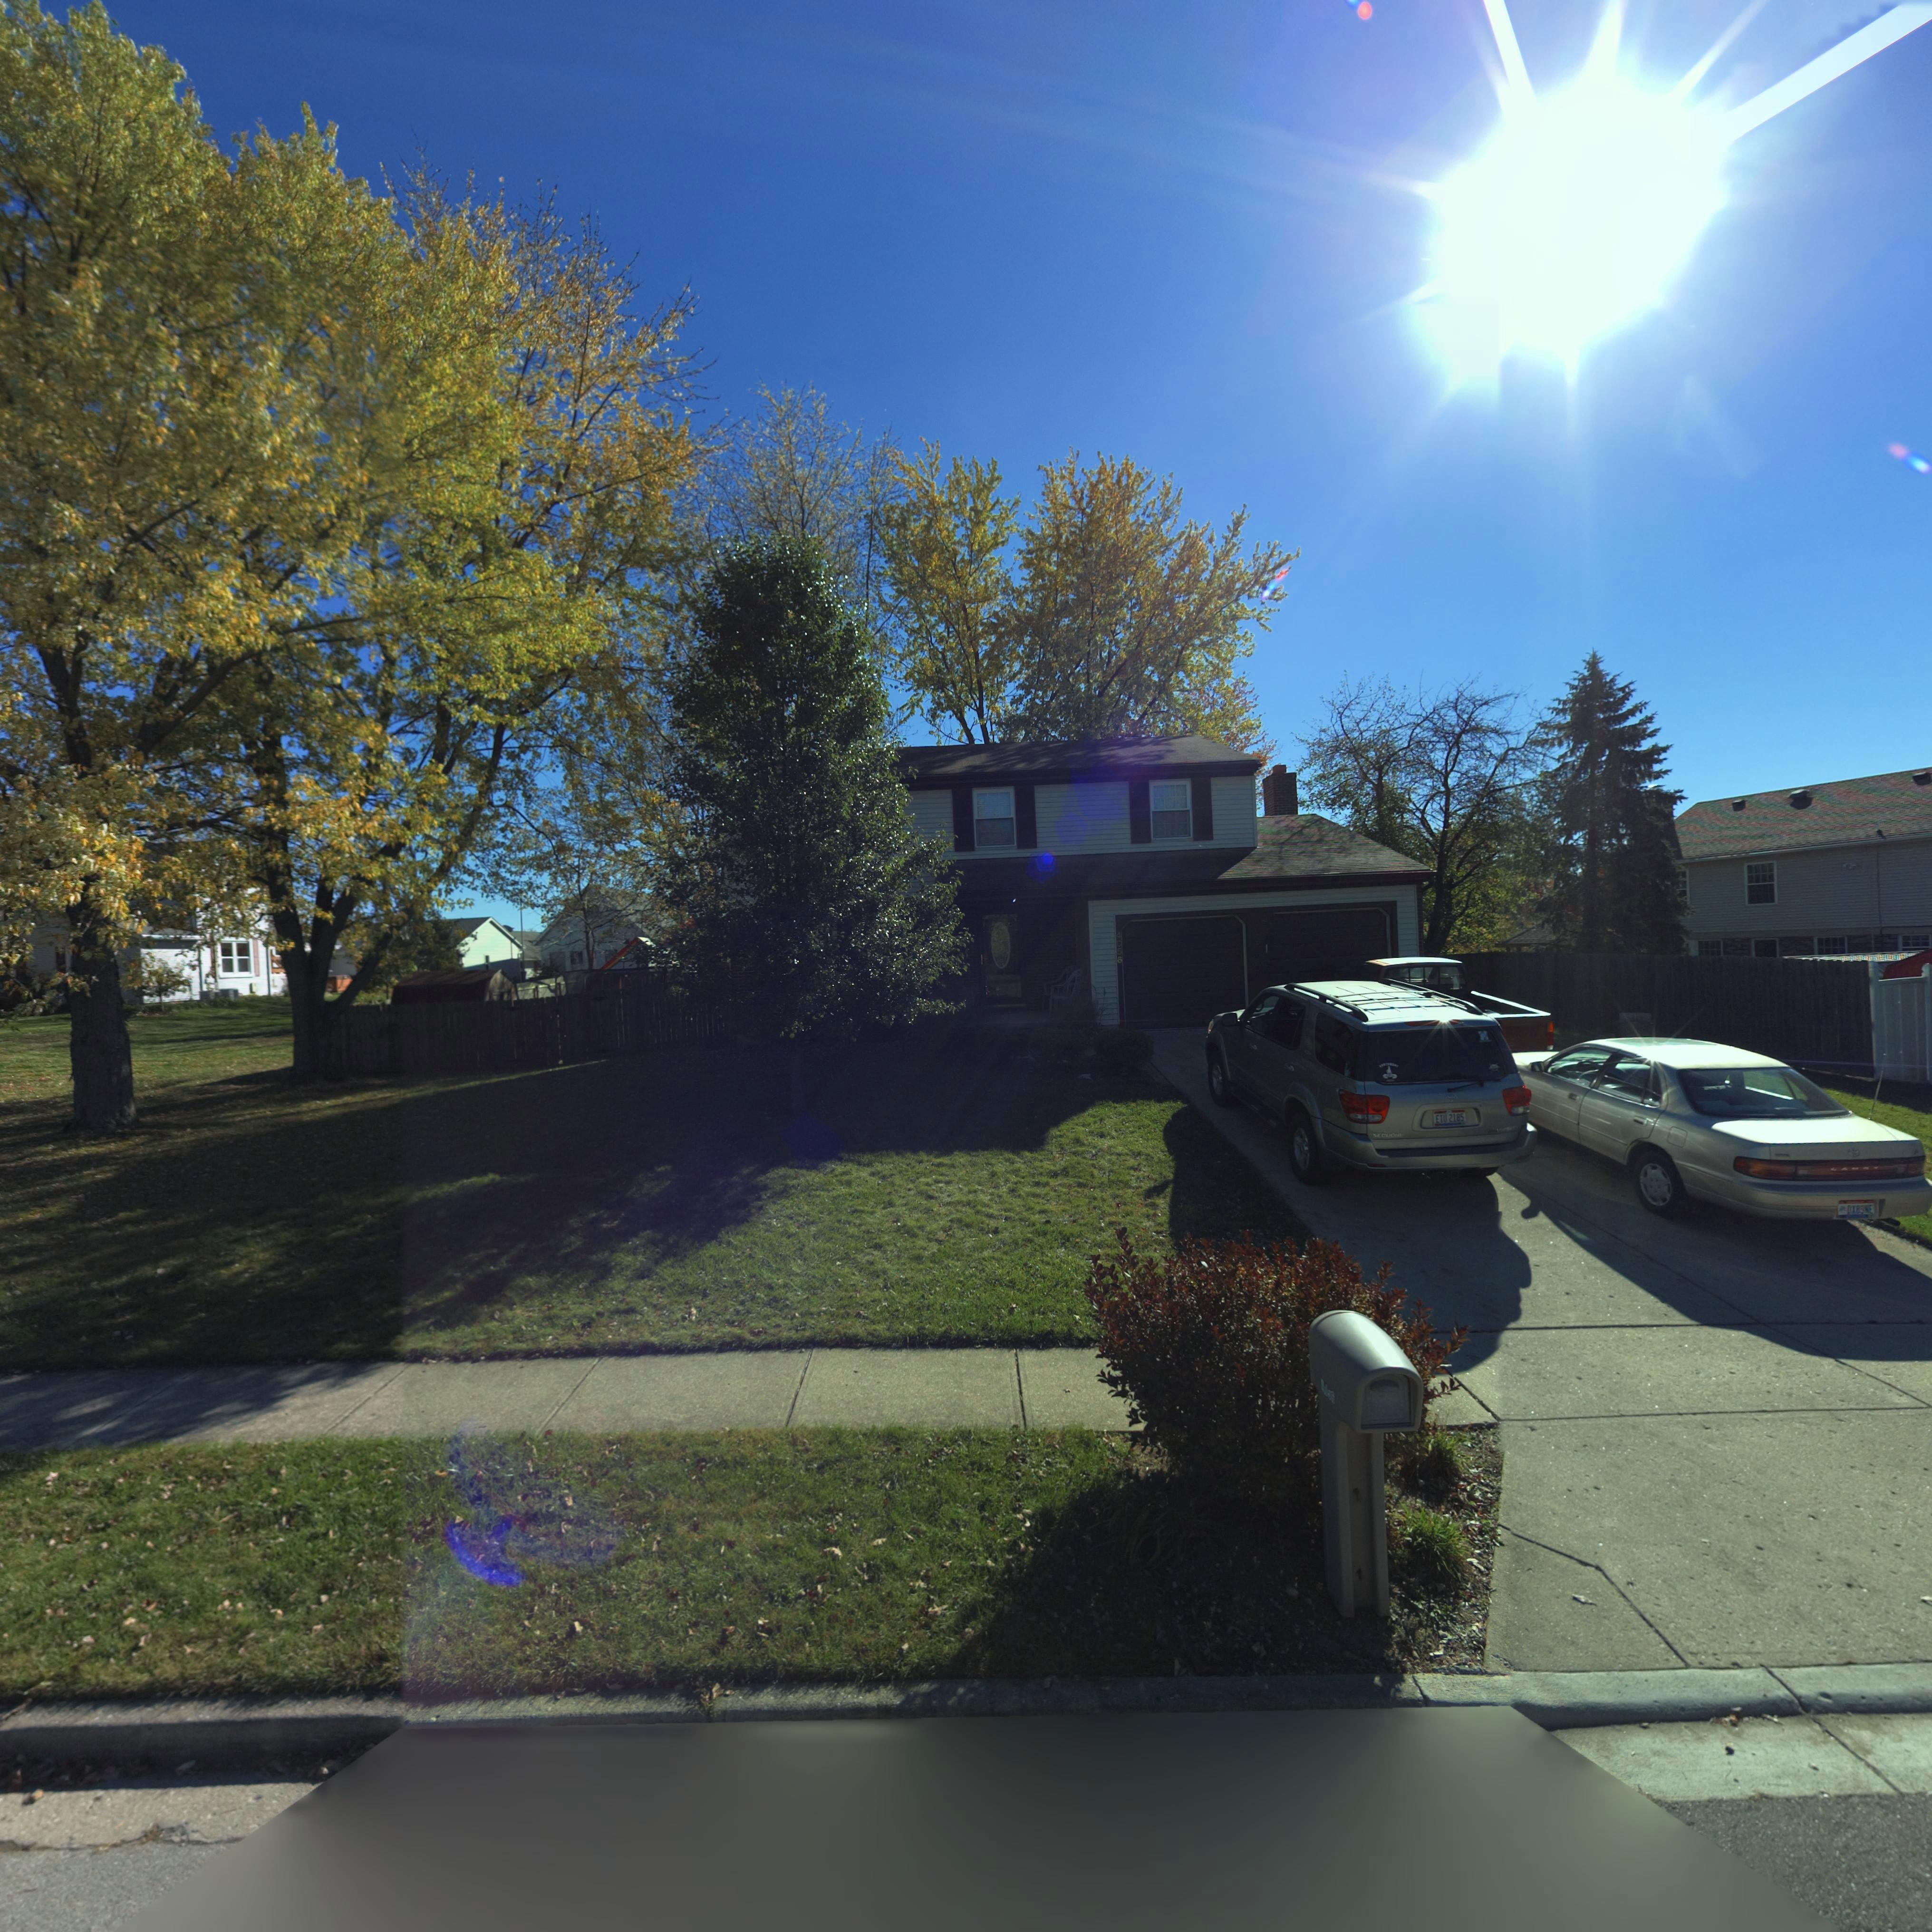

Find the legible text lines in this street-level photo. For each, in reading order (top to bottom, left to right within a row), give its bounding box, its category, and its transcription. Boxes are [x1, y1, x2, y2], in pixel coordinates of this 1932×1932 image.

[1116, 930, 1123, 964] StreetNumber: 4056
[1327, 1388, 1336, 1405] StreetNumber: 56